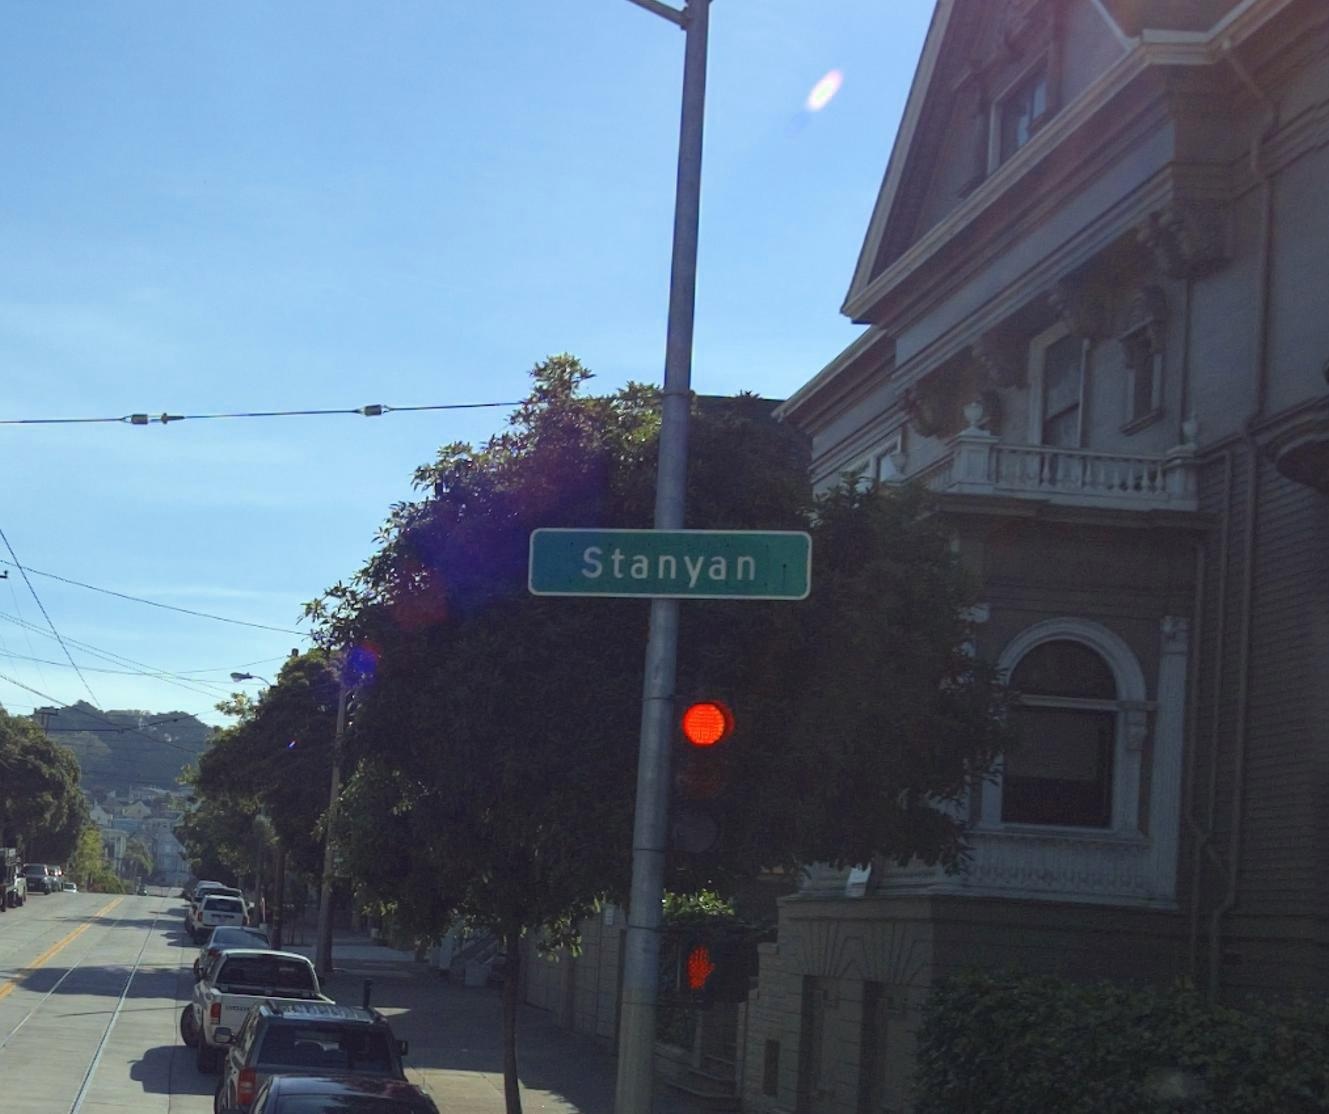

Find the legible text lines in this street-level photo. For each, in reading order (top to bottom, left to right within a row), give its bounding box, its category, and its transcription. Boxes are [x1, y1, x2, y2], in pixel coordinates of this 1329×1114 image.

[579, 545, 757, 589] StreetName: Stanyan